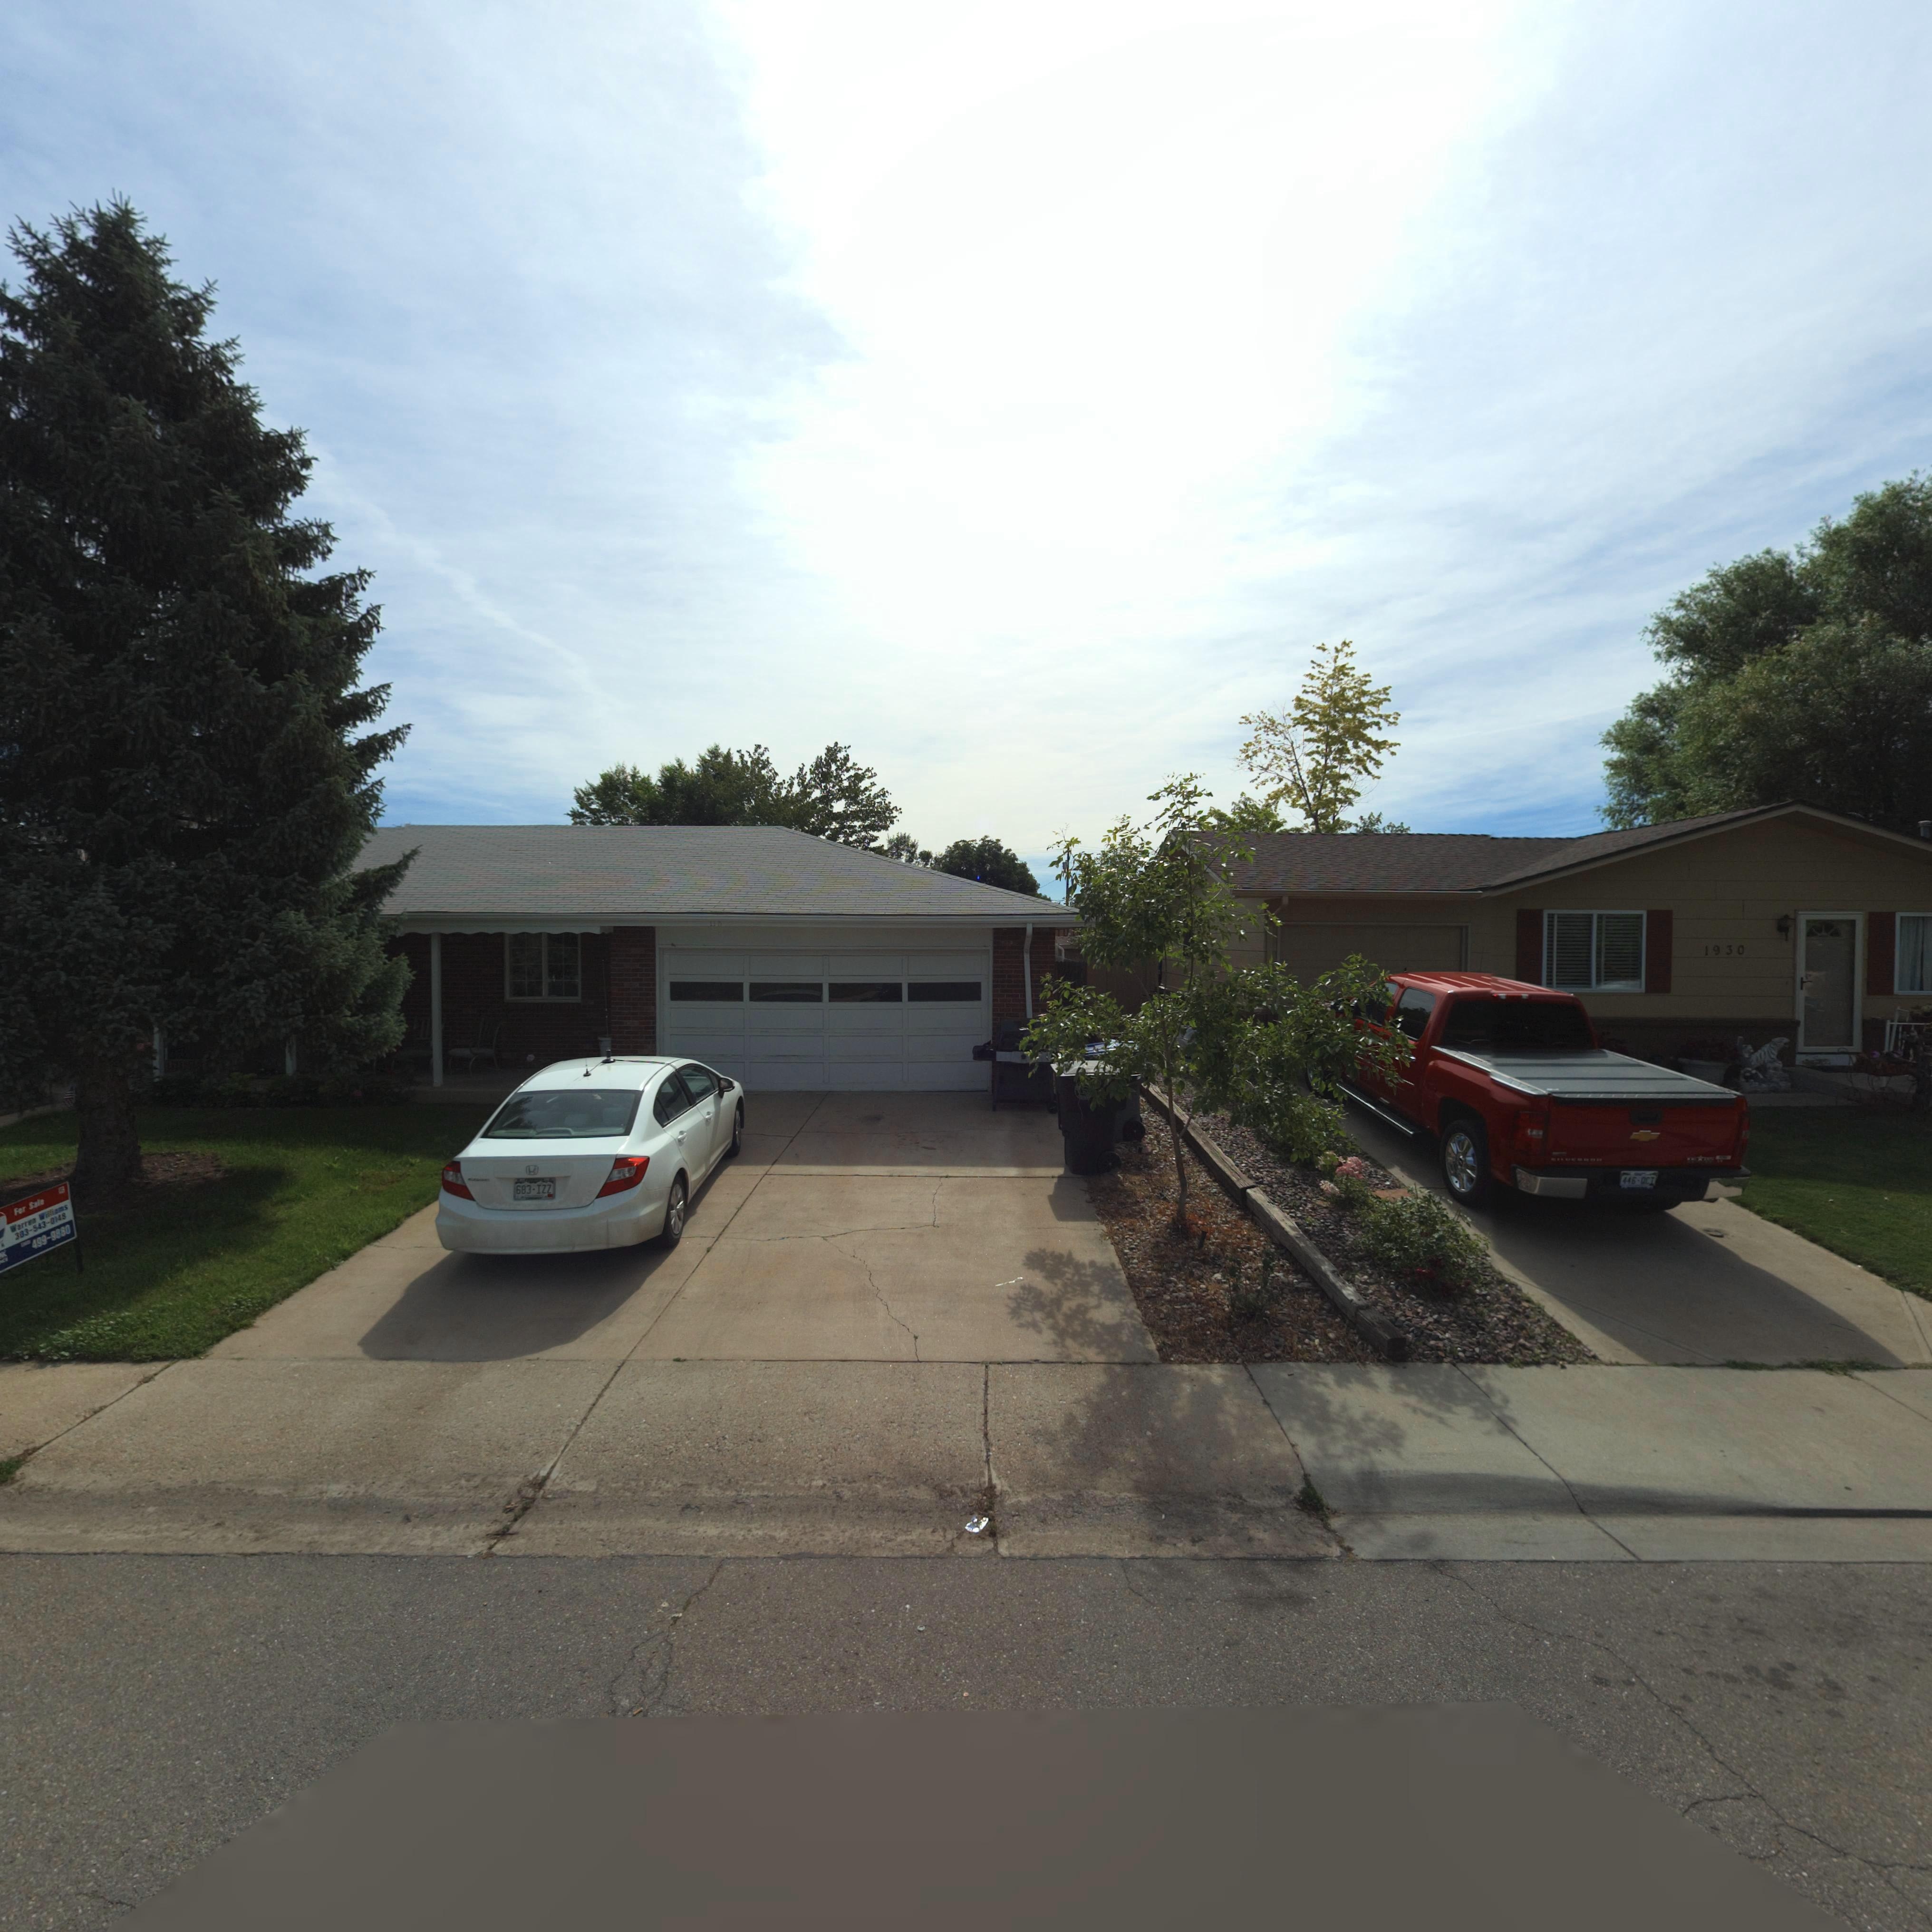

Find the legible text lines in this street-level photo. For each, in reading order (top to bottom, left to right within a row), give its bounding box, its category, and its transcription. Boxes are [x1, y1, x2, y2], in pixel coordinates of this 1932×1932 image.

[1703, 943, 1746, 956] StreetNumber: 1930